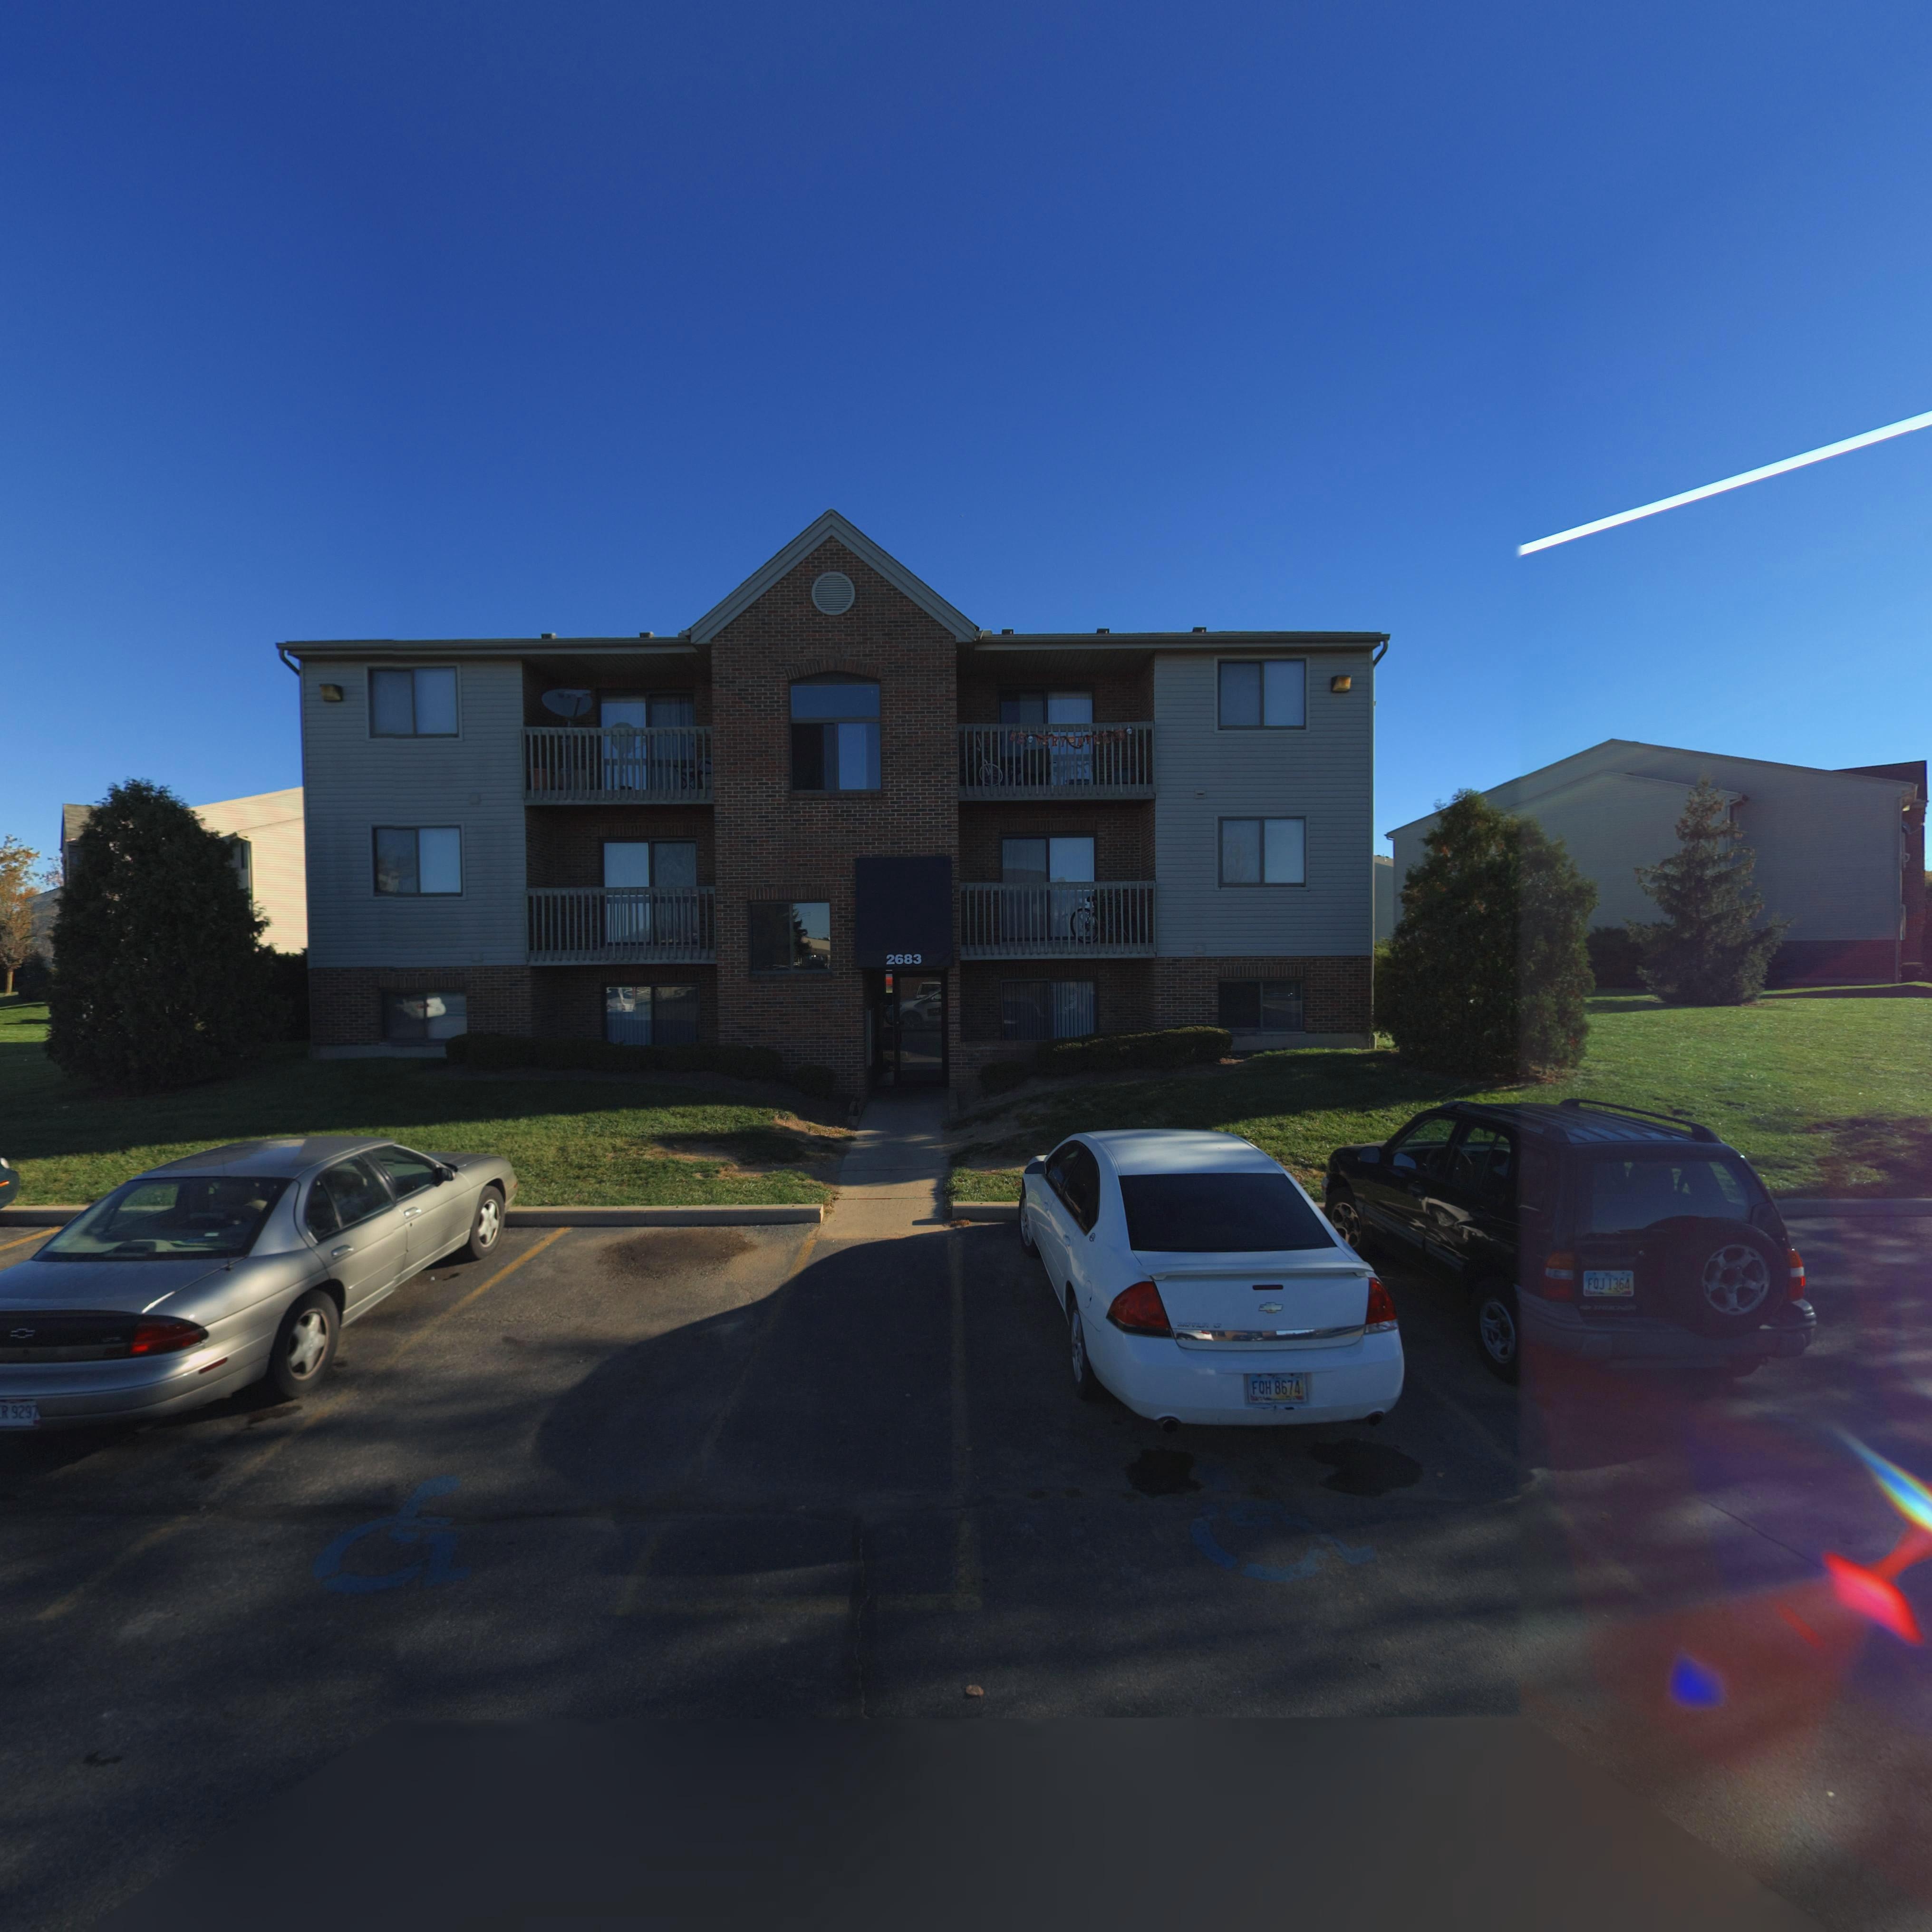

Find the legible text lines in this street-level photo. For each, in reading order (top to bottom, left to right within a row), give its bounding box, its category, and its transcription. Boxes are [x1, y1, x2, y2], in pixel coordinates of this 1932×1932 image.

[886, 954, 922, 965] StreetNumber: 2683